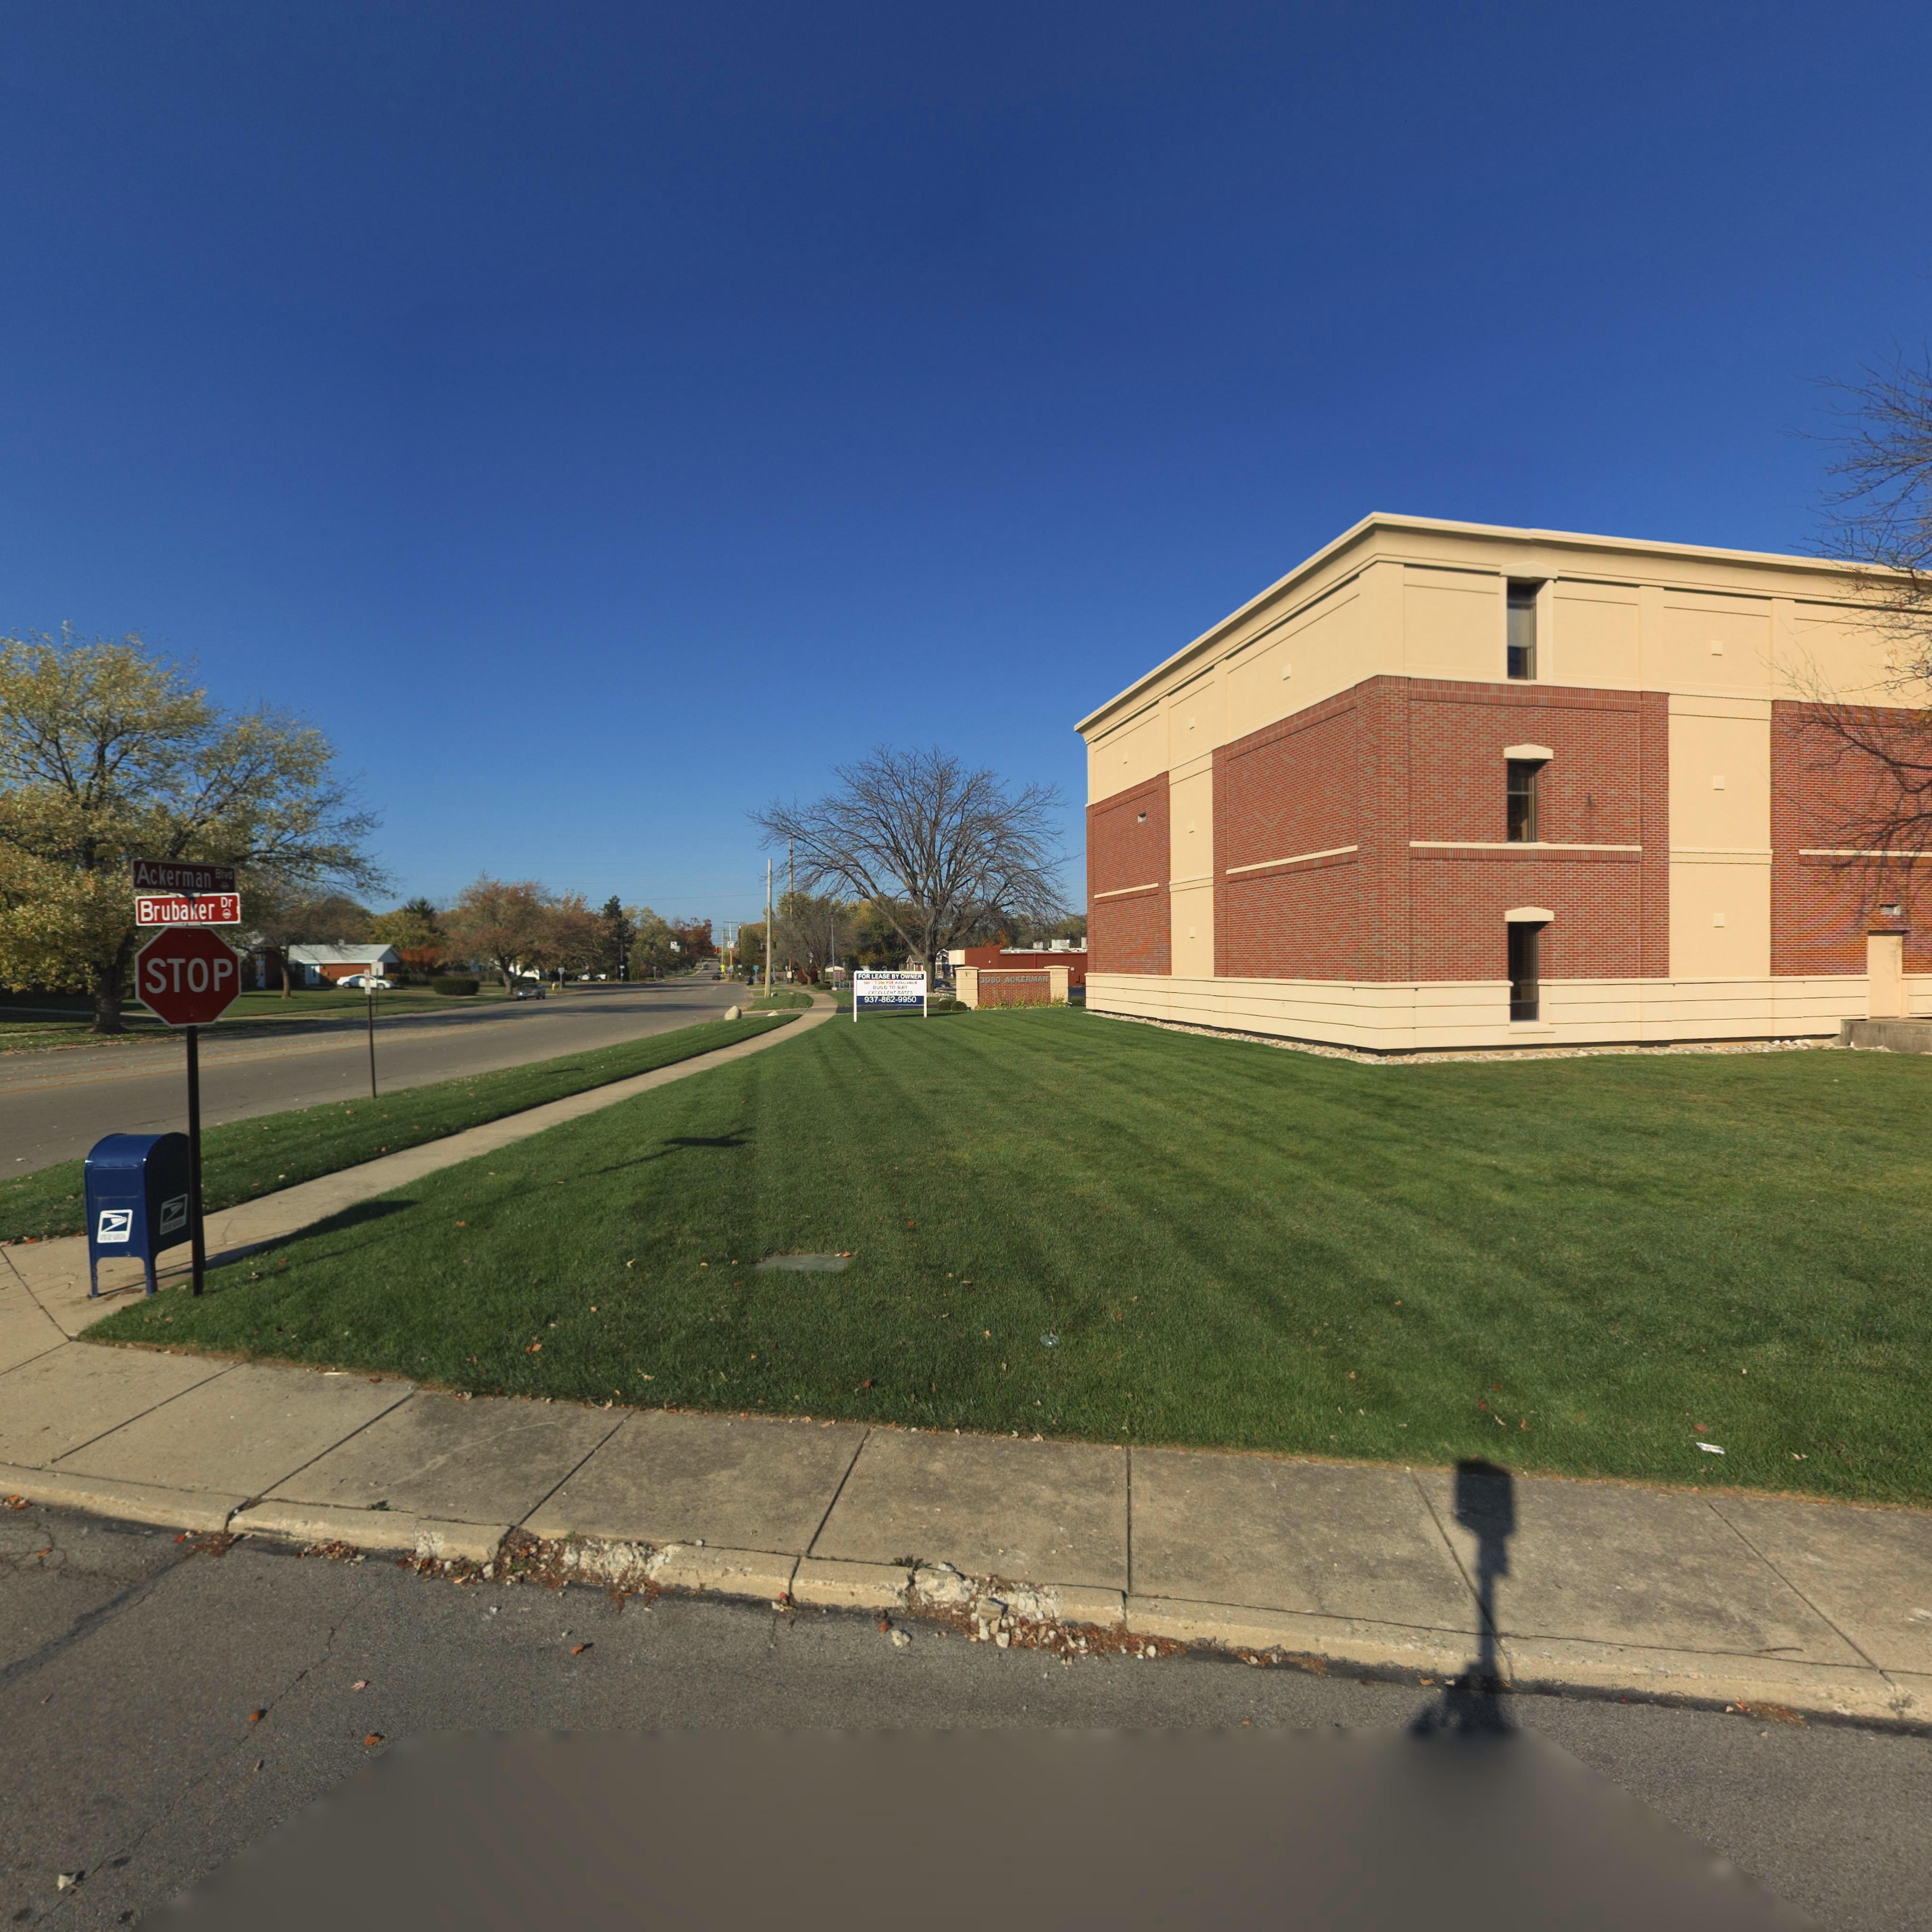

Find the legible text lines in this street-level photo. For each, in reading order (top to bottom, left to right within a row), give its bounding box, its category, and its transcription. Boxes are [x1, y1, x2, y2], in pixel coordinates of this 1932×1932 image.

[135, 861, 234, 889] StreetName: Ackerman Blvd
[139, 896, 234, 923] StreetName: Brubaker Dr
[980, 976, 1000, 984] StreetNumber: 3080
[1003, 976, 1049, 984] StreetName: ACKERMAN